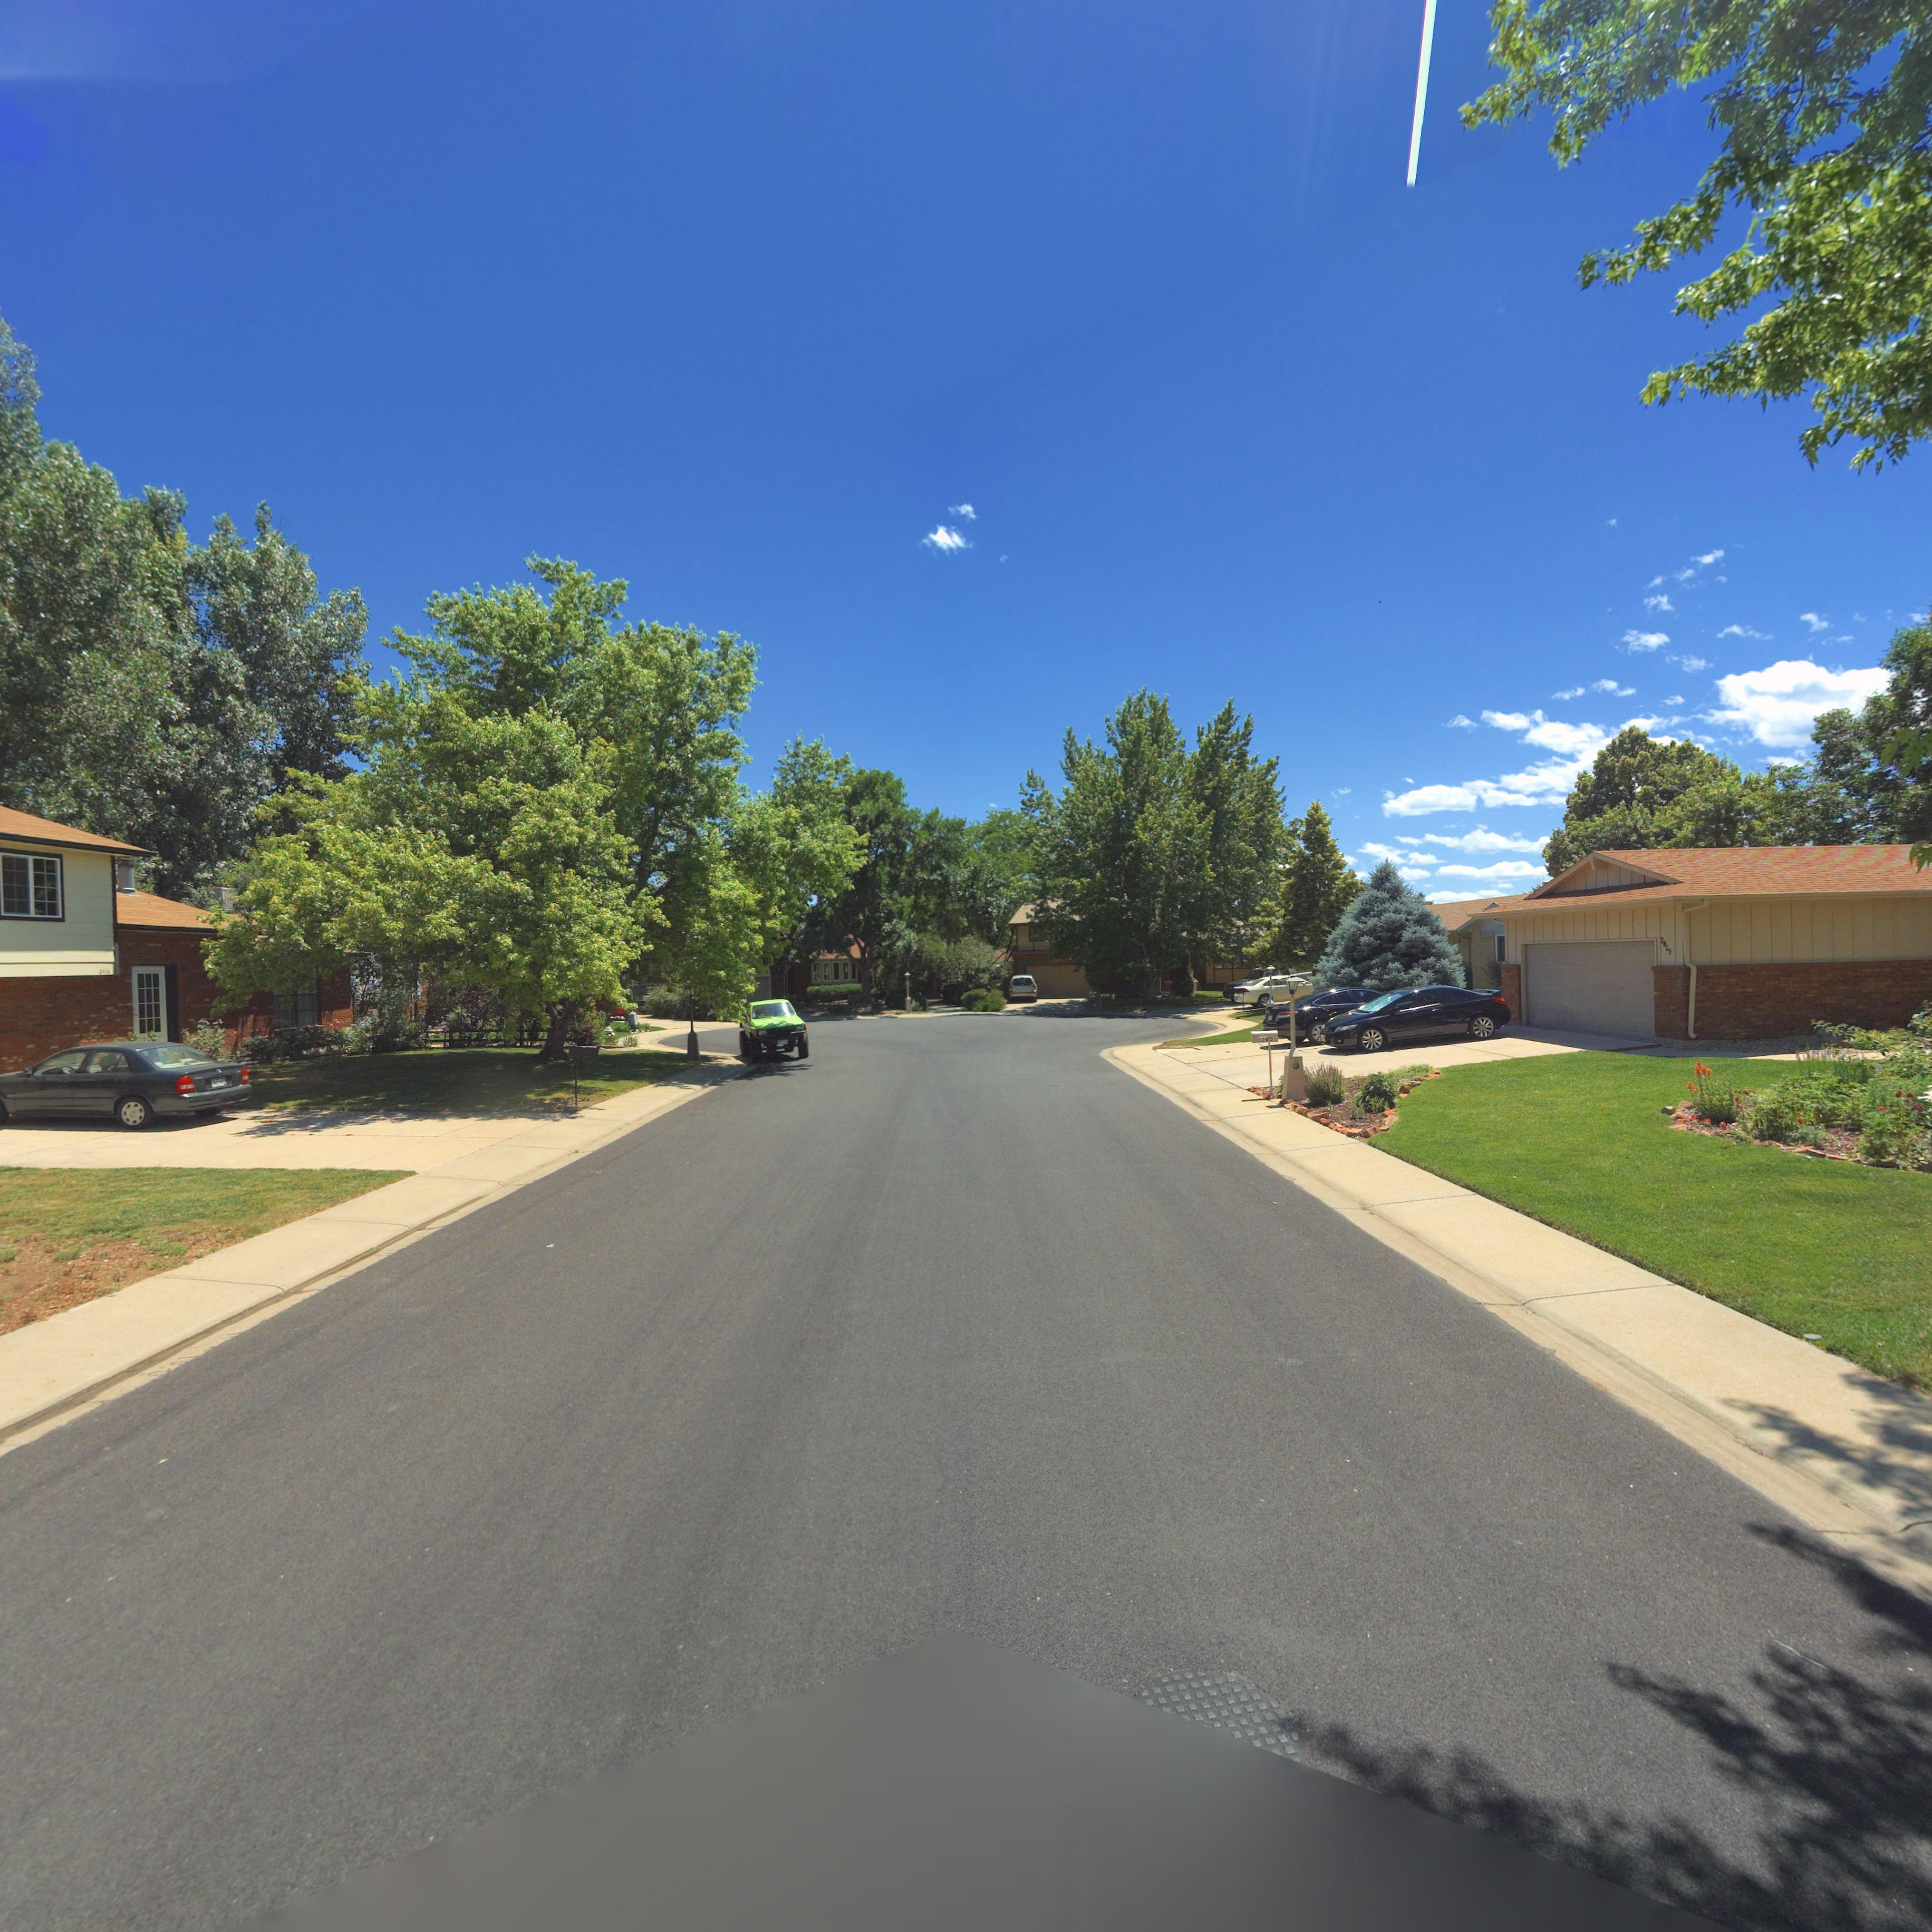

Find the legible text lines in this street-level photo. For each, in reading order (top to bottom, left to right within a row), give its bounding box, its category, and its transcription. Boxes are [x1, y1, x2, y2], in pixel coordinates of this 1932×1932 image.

[1659, 936, 1672, 955] StreetNumber: 2415
[1051, 958, 1065, 963] StreetNumber: *404
[98, 968, 110, 975] StreetNumber: ***8
[1262, 1036, 1273, 1042] StreetNumber: 241*